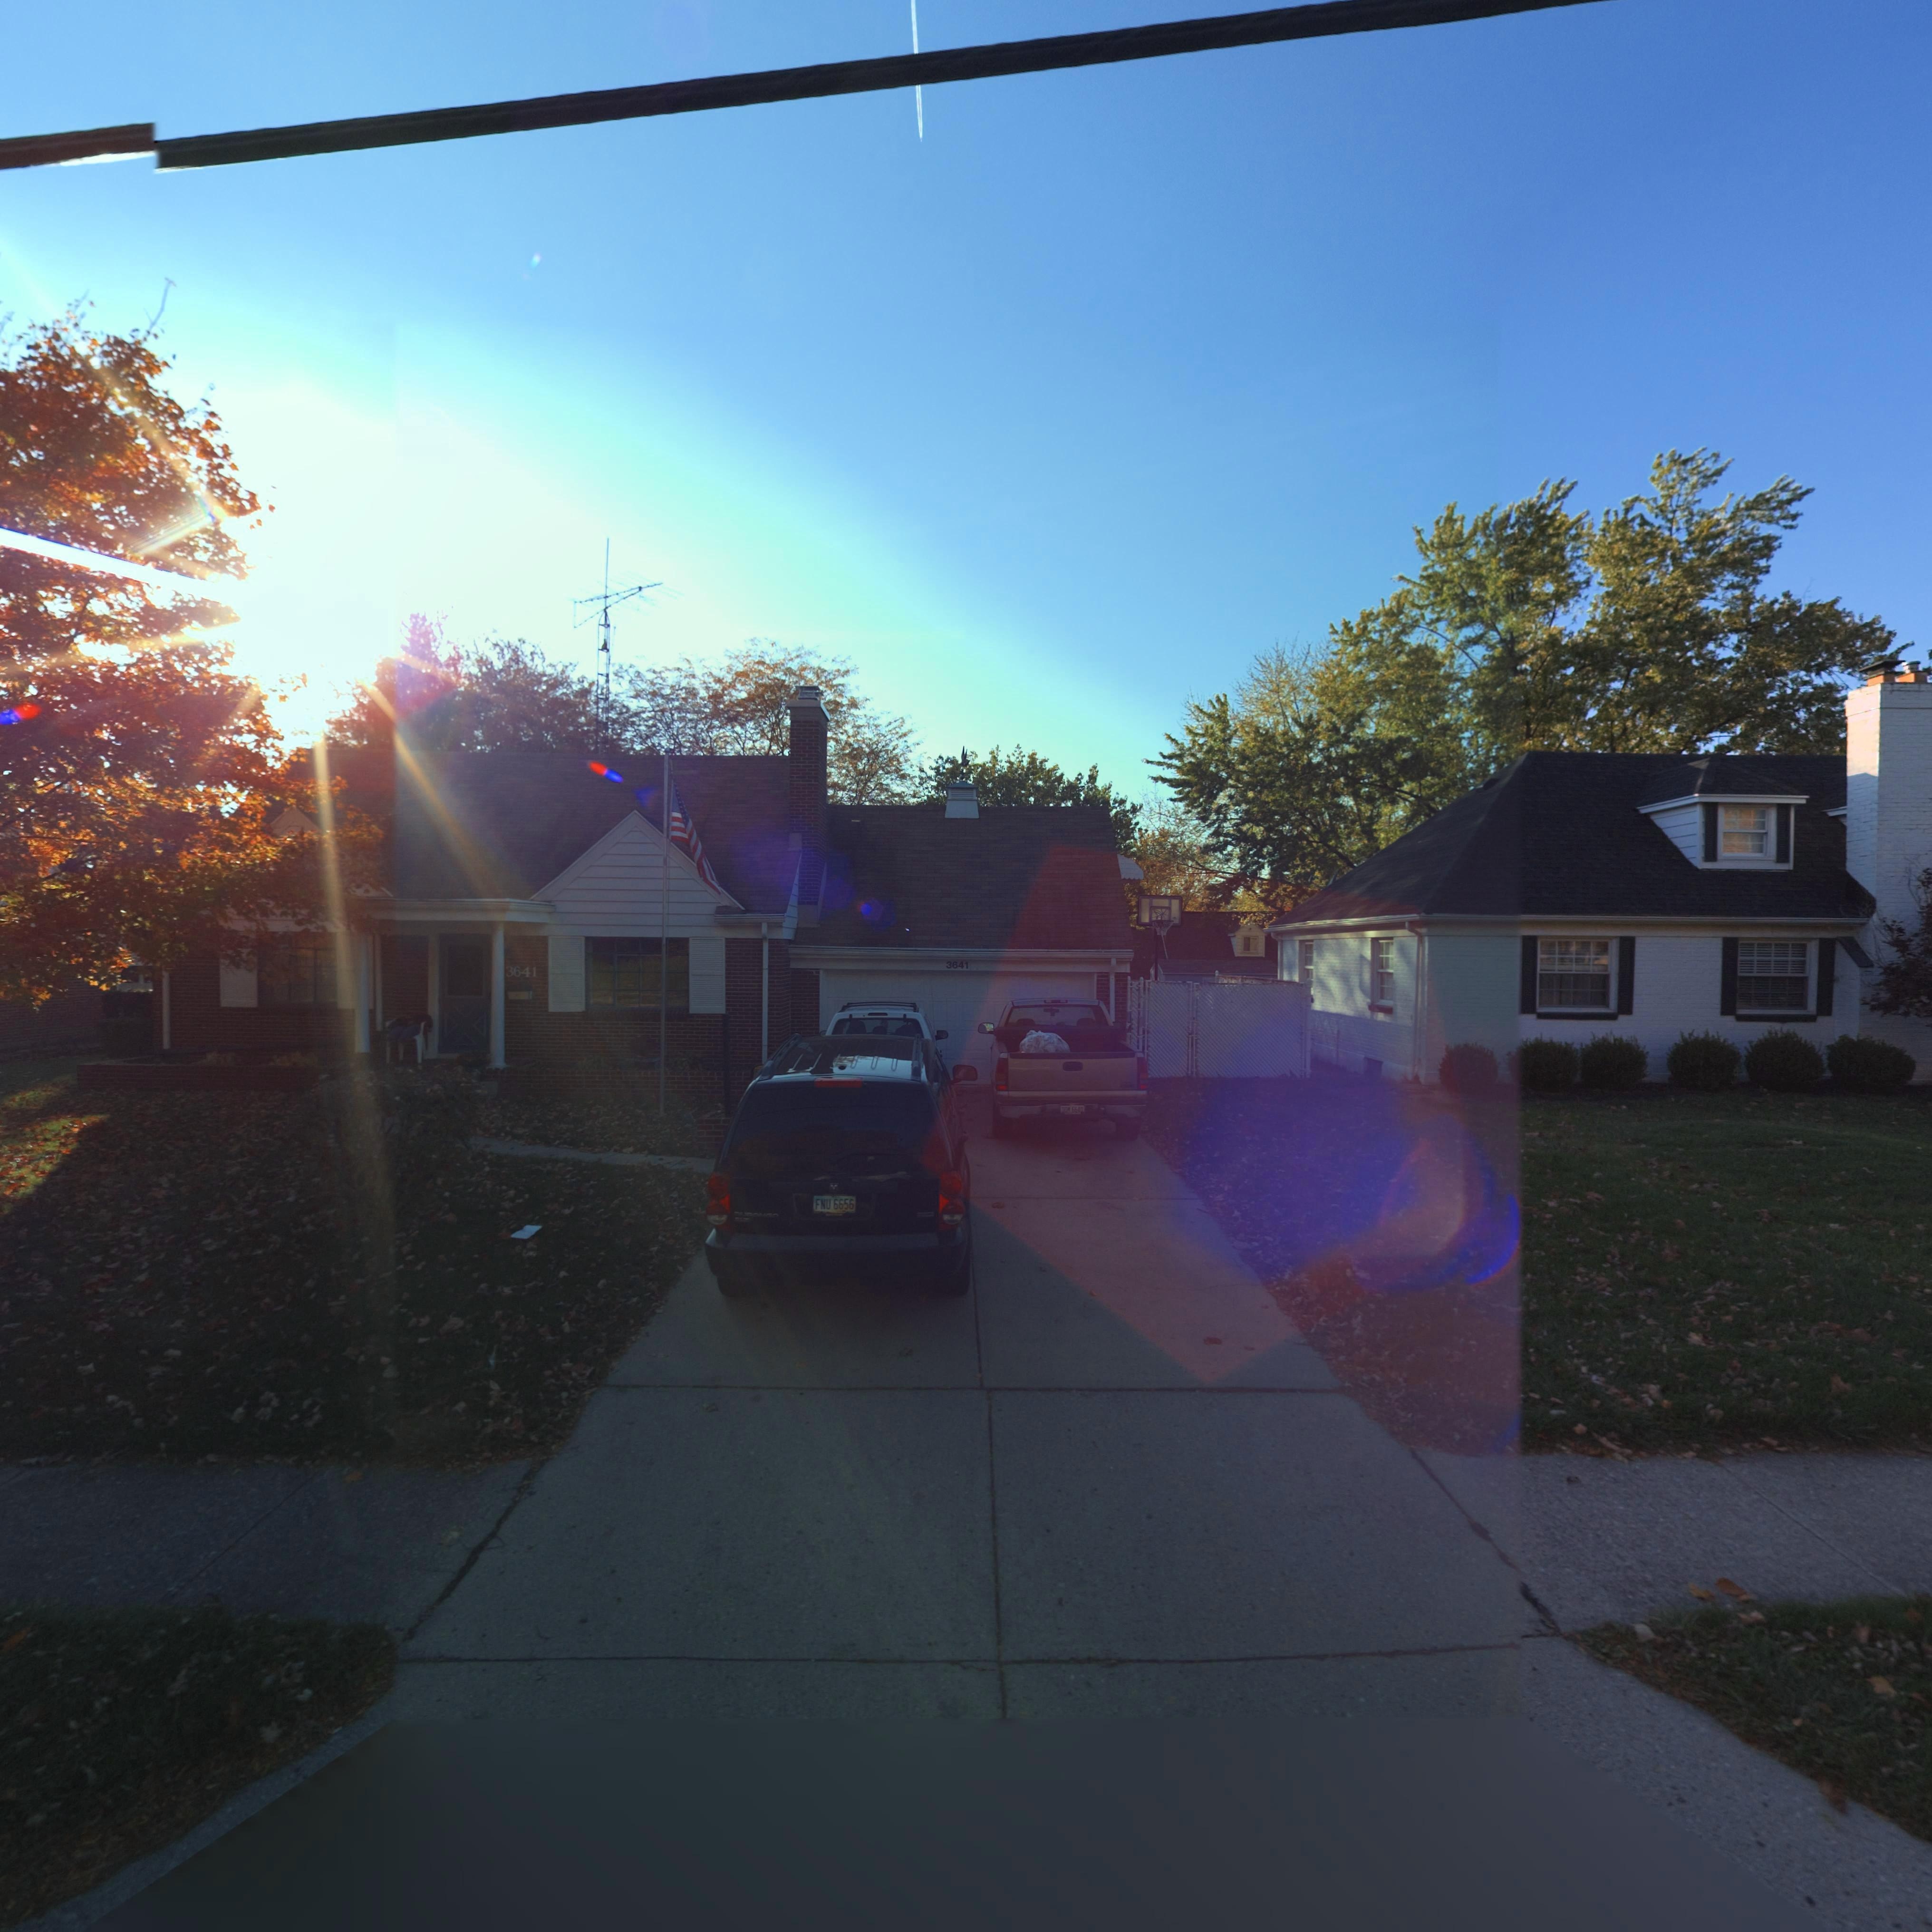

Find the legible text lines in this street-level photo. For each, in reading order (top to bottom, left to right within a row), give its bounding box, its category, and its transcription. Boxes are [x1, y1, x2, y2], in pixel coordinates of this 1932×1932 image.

[945, 960, 969, 970] StreetNumber: 3641
[504, 965, 537, 977] StreetNumber: 3641